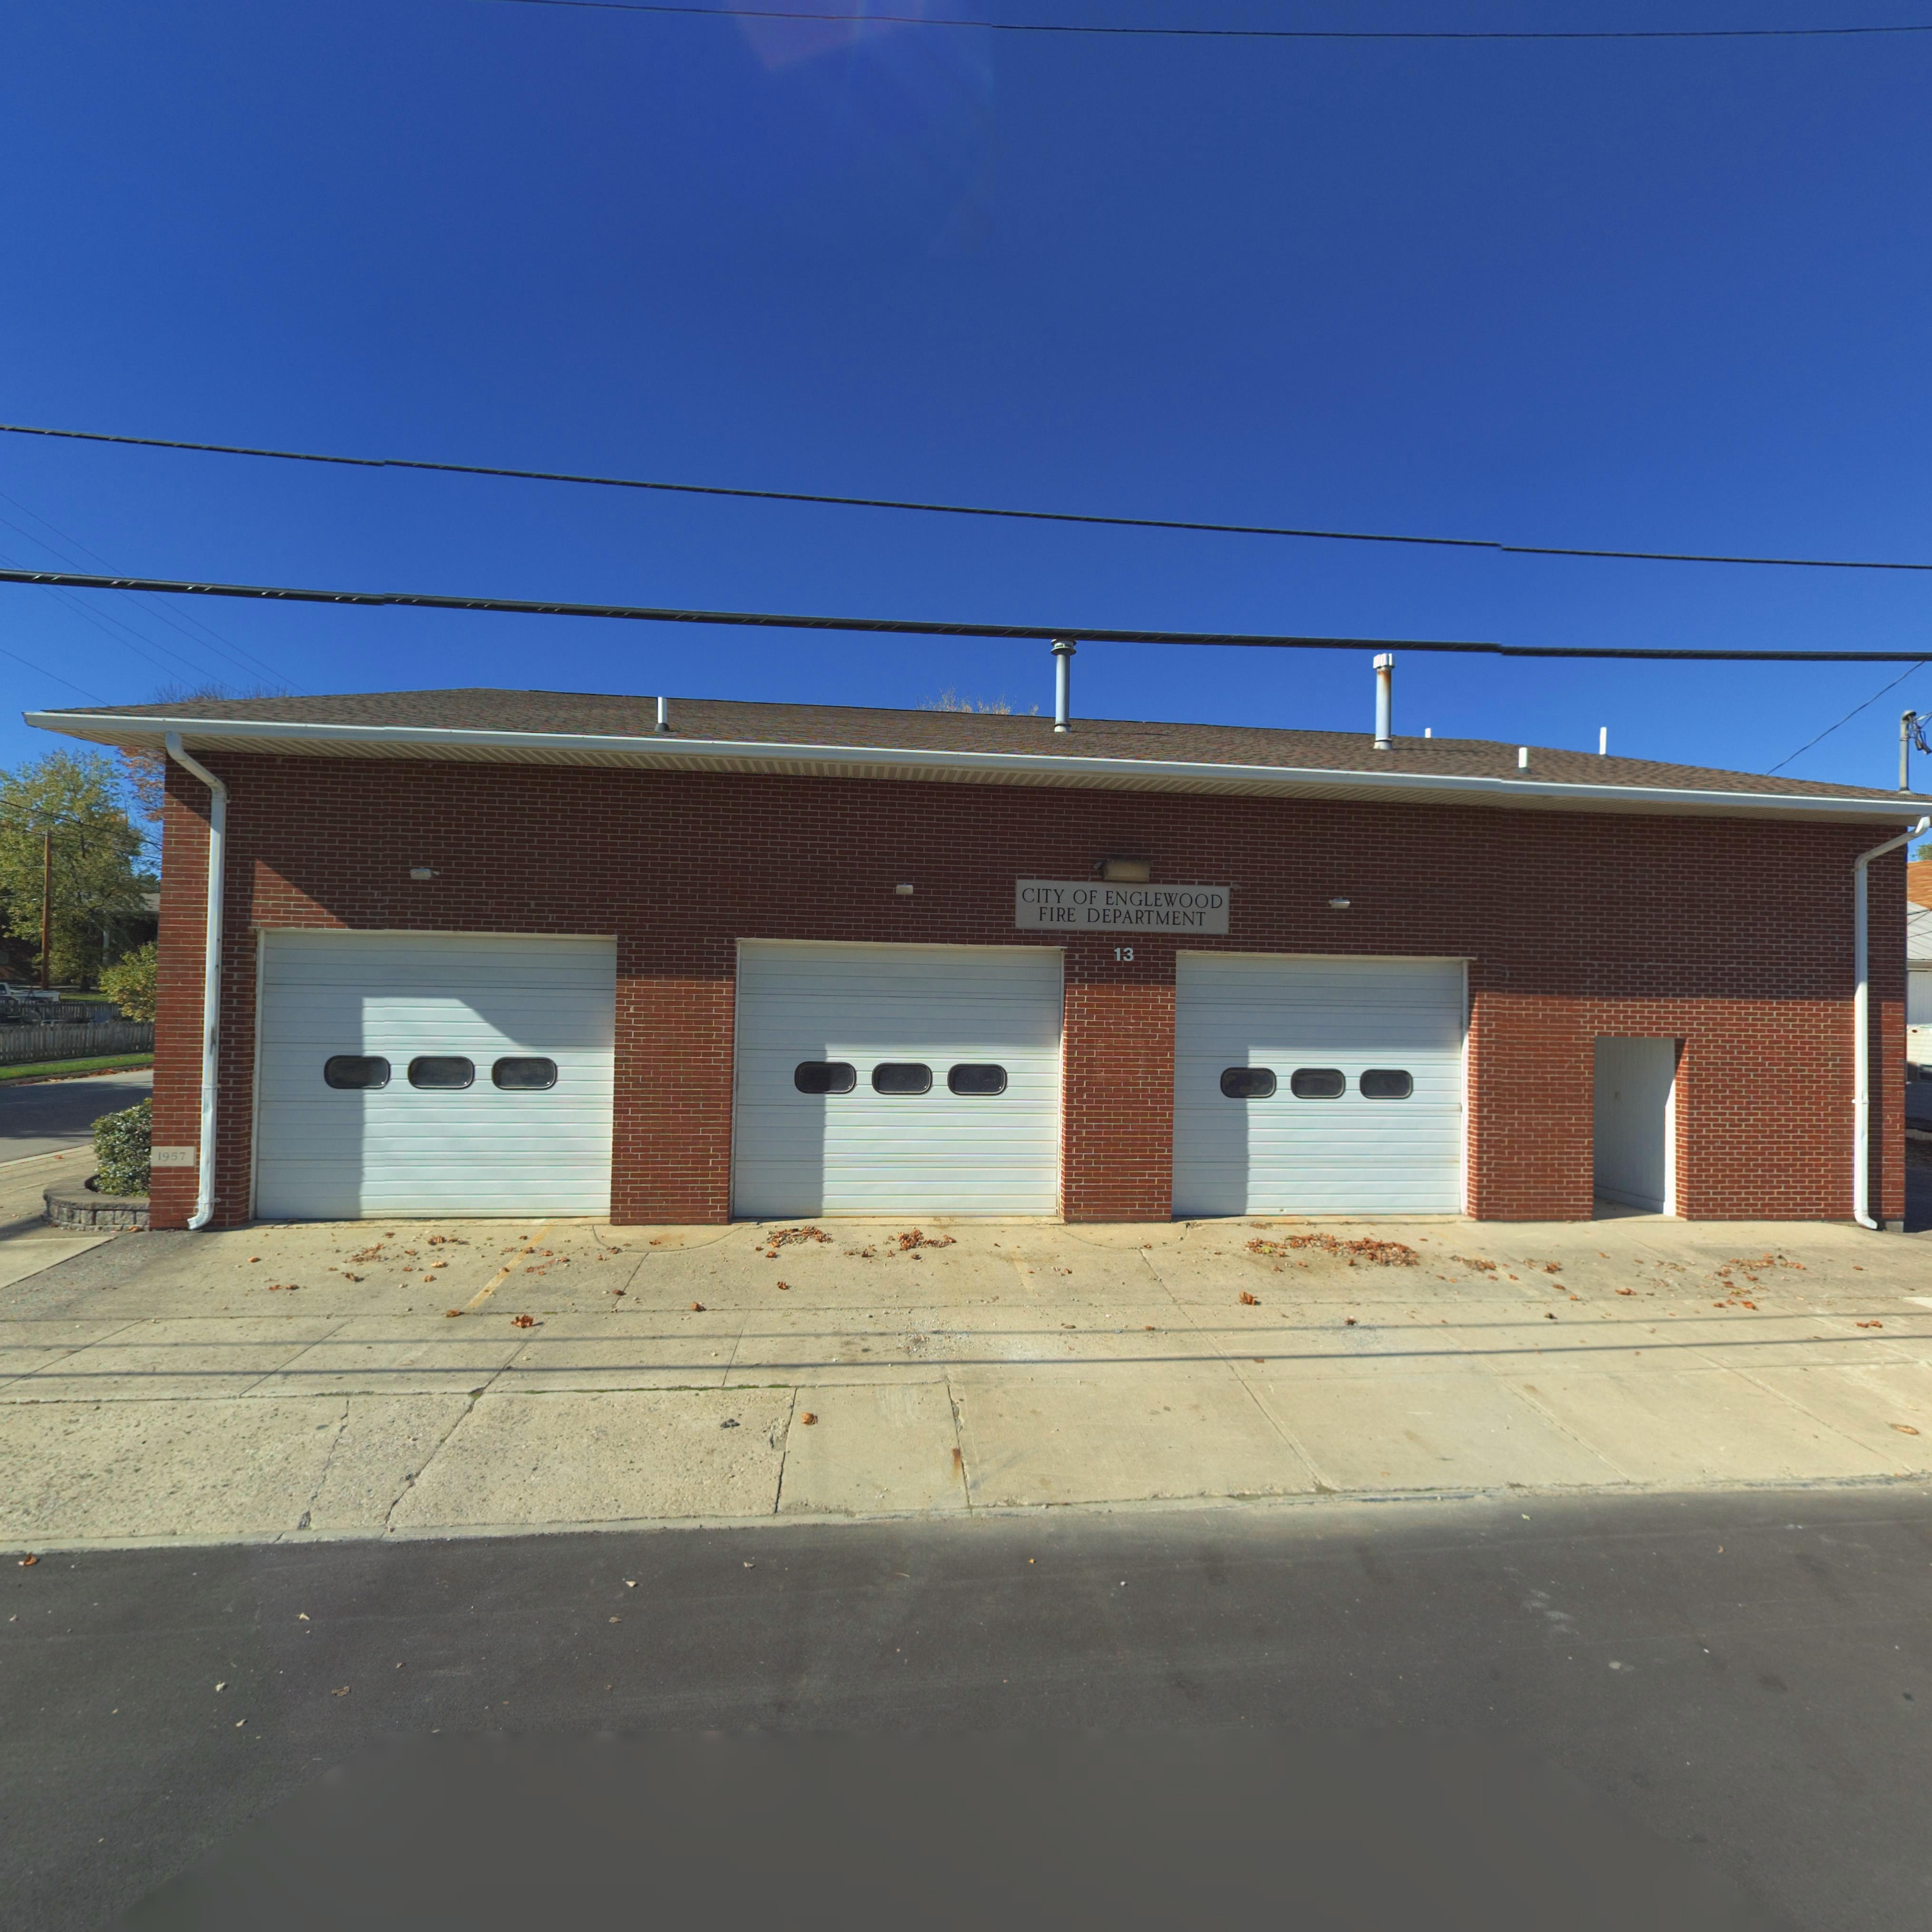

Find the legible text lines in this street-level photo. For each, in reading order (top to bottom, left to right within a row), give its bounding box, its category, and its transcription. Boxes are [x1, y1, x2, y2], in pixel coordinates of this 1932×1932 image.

[1021, 887, 1224, 909] None: CITY OF ENGLEWOOD
[1038, 906, 1207, 927] None: FIRE DEPARTMENT
[1113, 947, 1134, 962] StreetNumber: 13
[157, 1151, 186, 1162] None: 1957